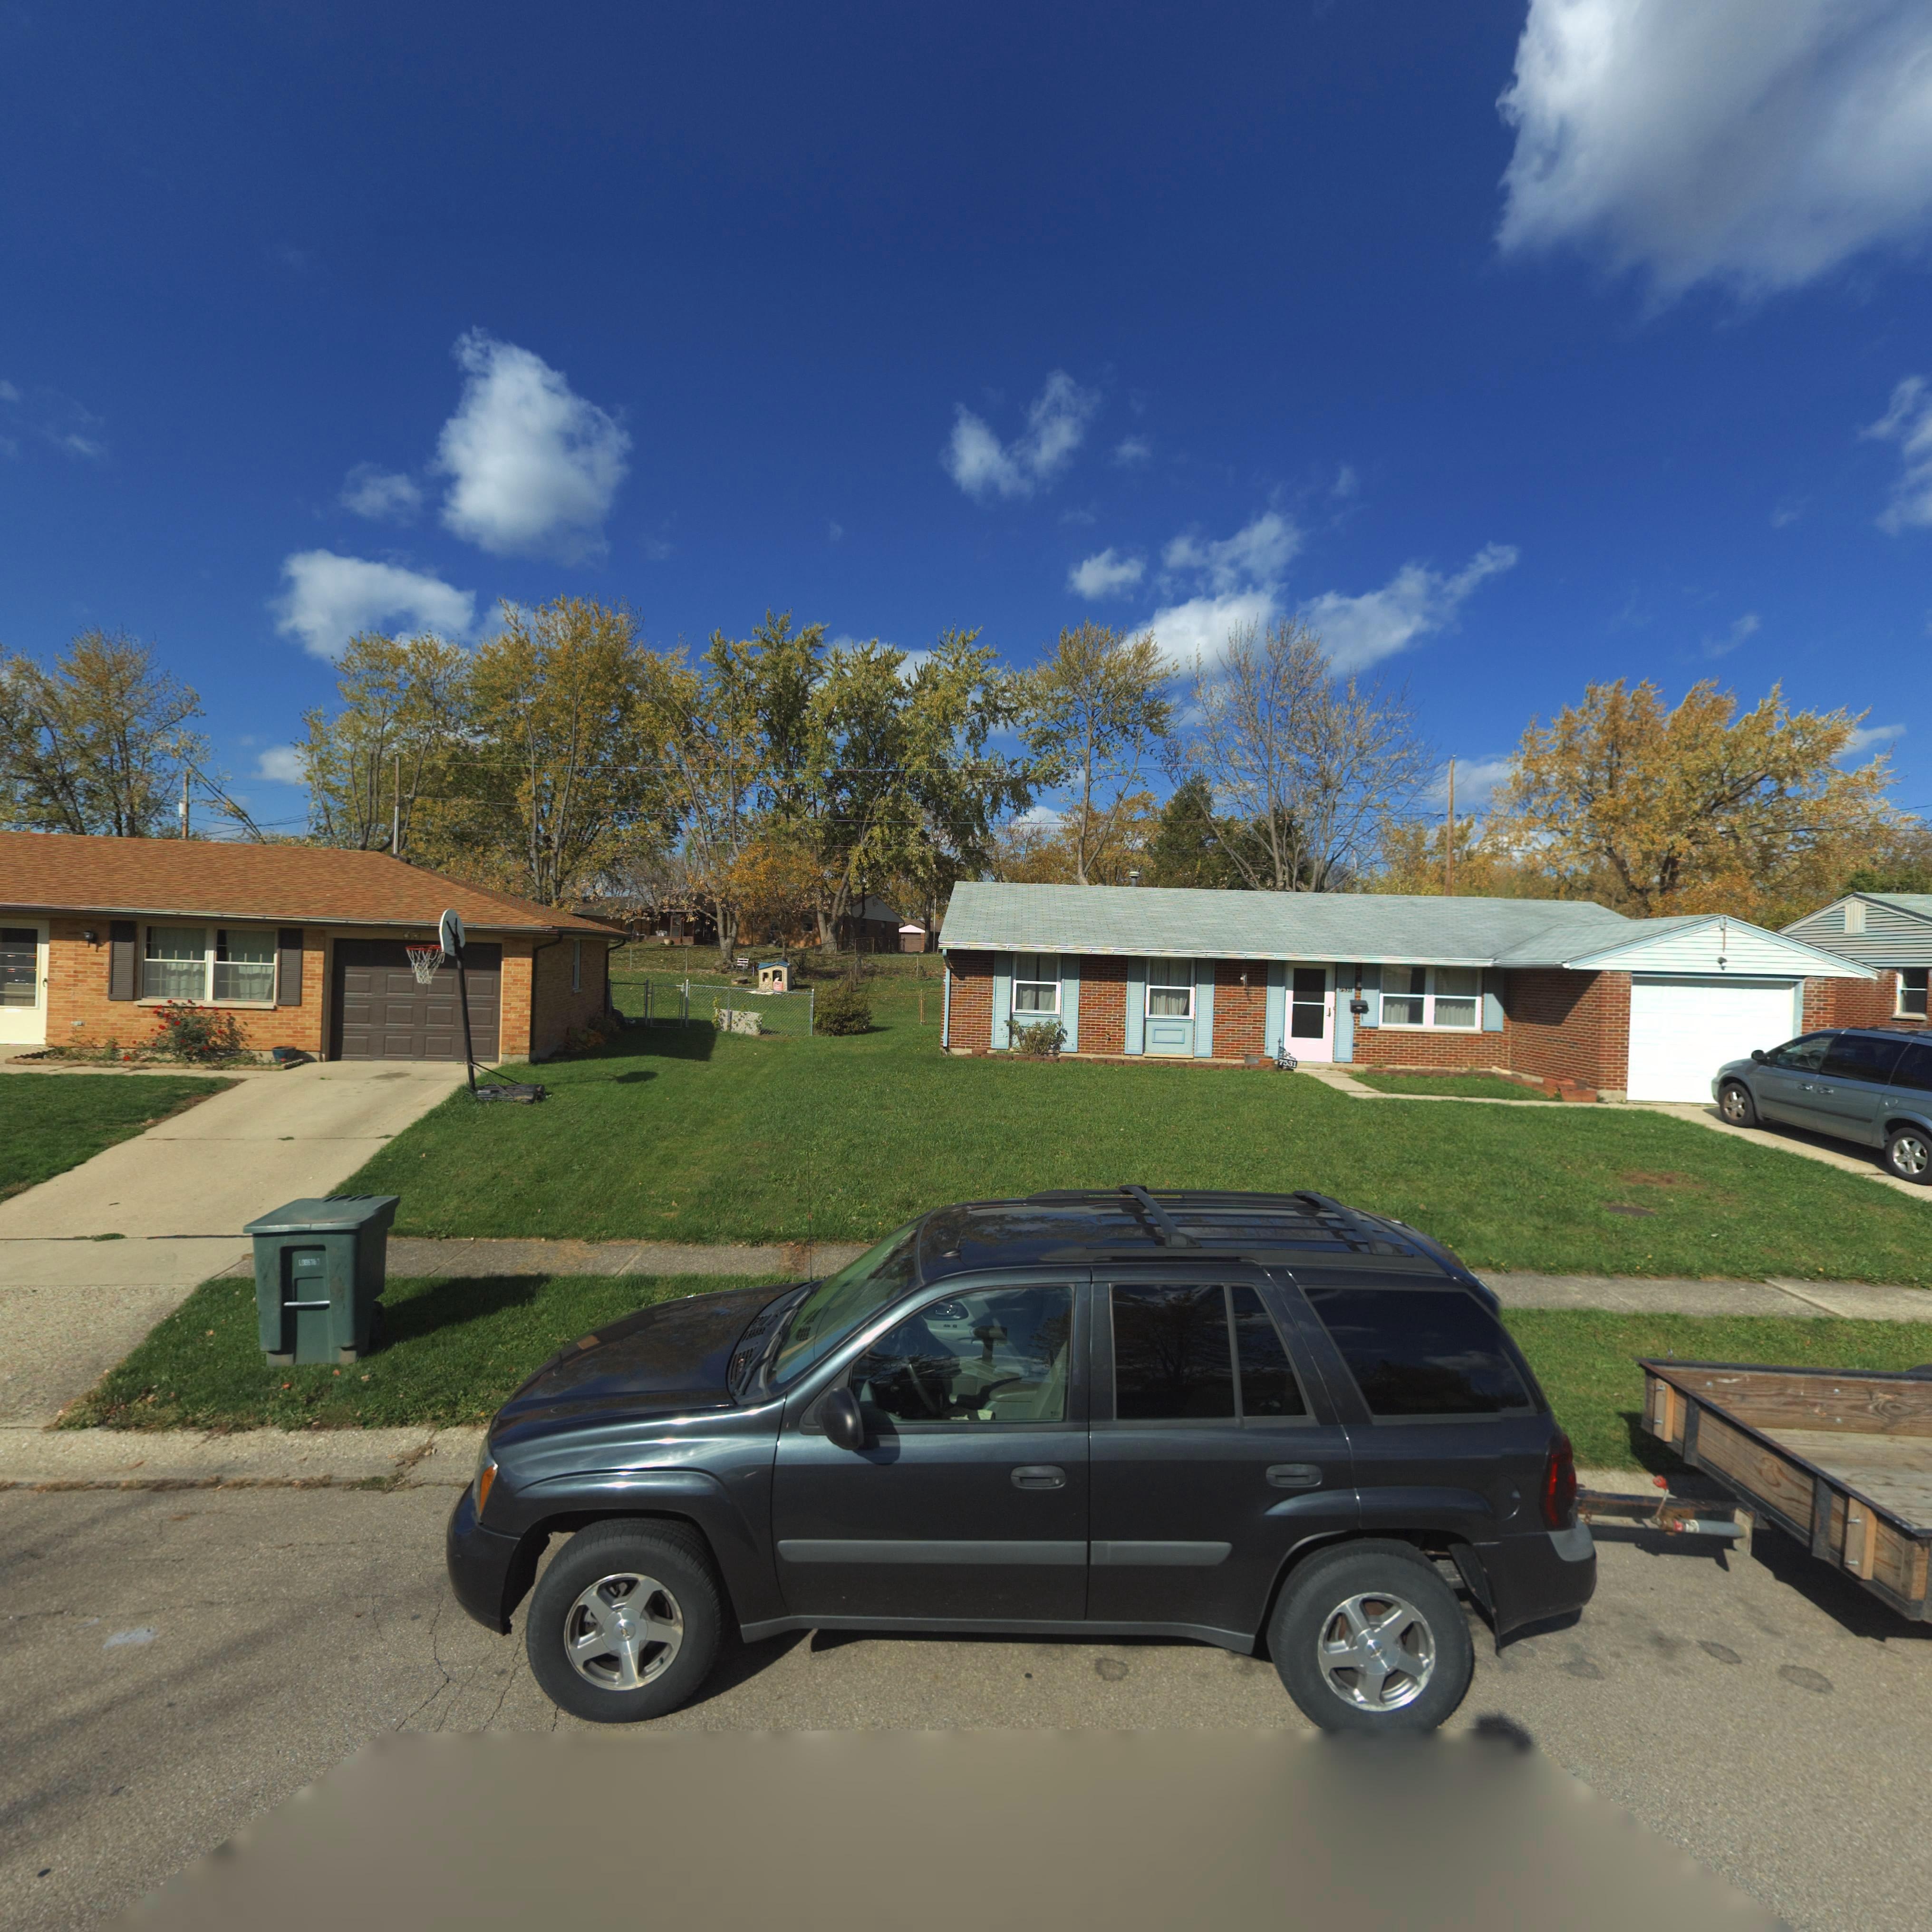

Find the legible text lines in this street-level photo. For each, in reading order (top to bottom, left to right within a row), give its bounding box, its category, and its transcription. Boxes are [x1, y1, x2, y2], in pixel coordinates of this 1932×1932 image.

[401, 932, 422, 939] StreetNumber: 7**7
[1338, 986, 1352, 992] StreetNumber: 7531
[1279, 1058, 1297, 1068] StreetNumber: 7531